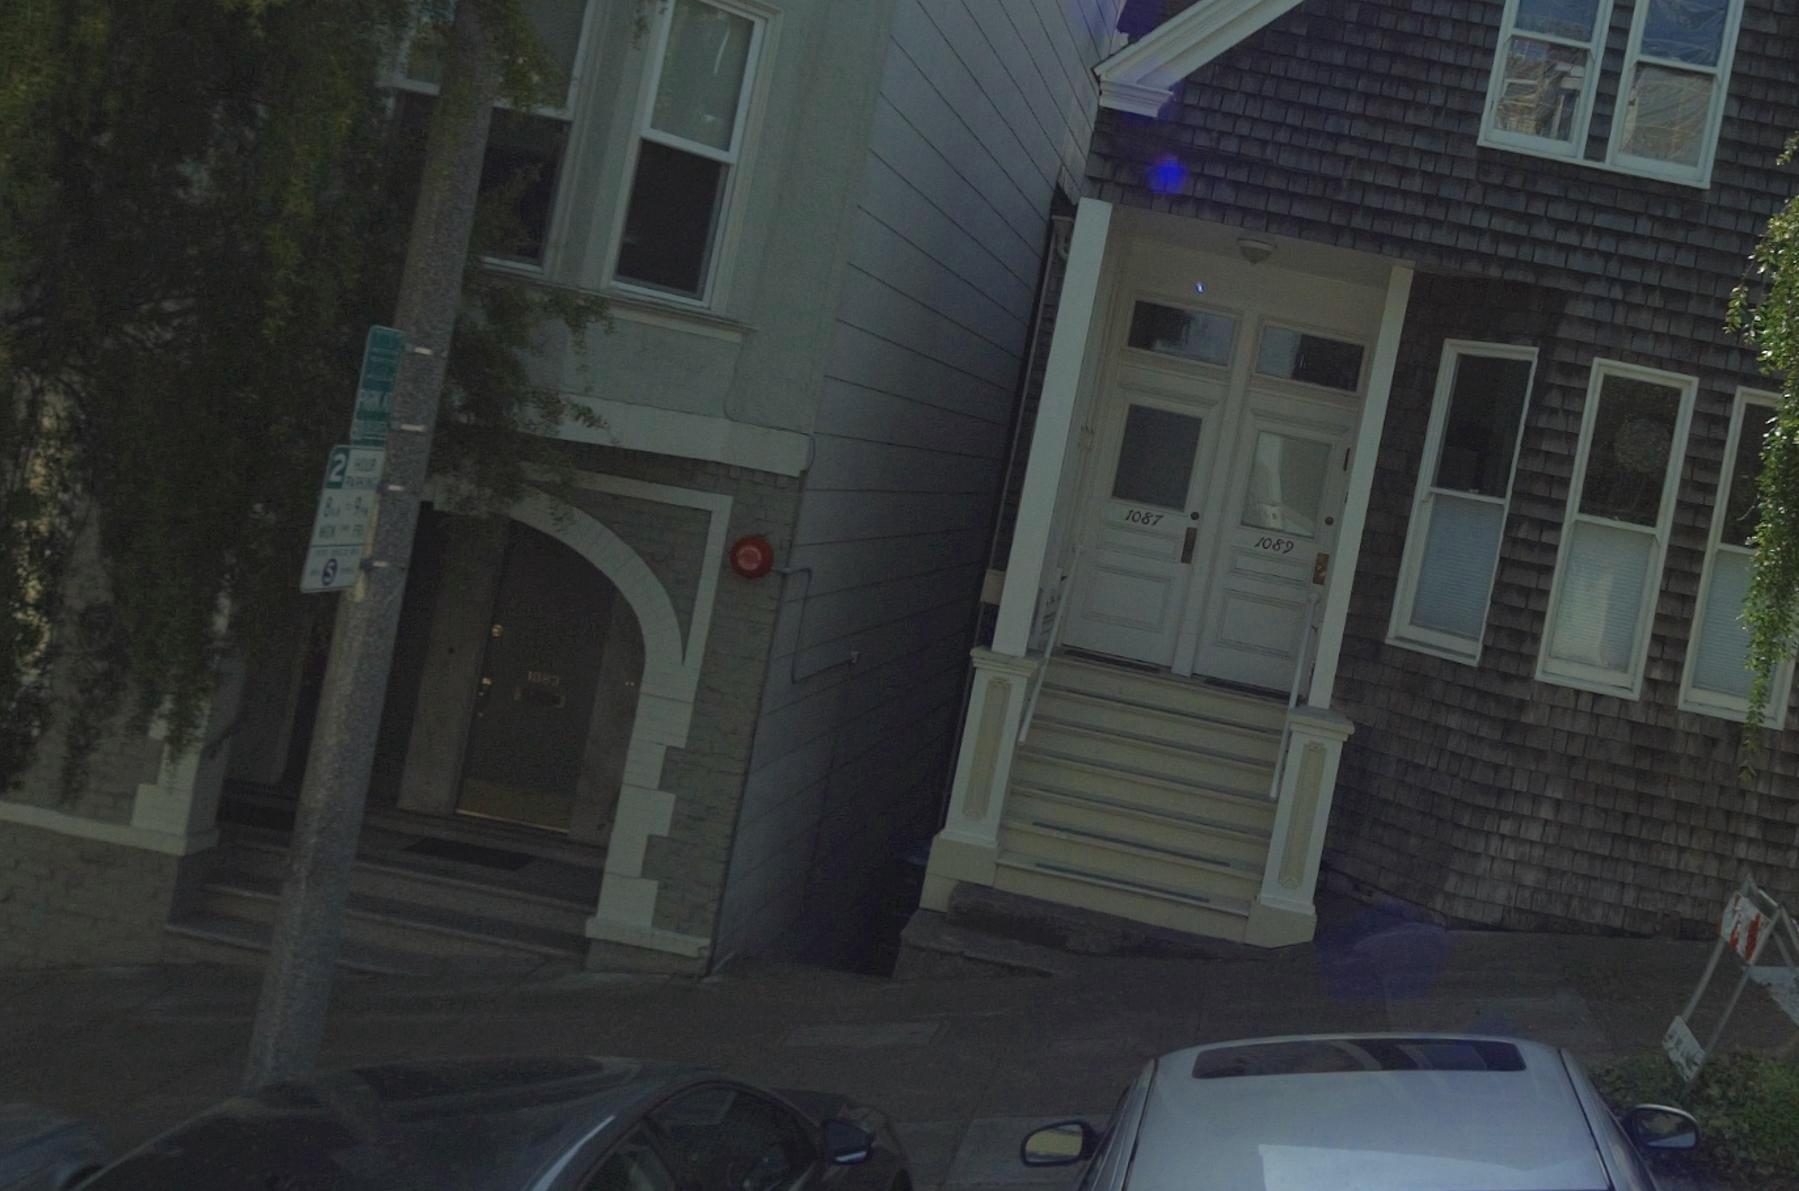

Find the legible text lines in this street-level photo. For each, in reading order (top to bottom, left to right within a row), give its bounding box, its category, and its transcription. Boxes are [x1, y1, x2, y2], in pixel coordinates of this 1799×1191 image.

[327, 451, 349, 484] None: 2
[351, 454, 381, 473] None: HOUR
[319, 496, 376, 518] None: 8AM - 9
[1123, 509, 1165, 526] StreetNumber: 1087
[318, 522, 371, 541] None: MON FRI
[1253, 534, 1295, 557] StreetNumber: 1089
[323, 560, 338, 586] None: S
[524, 669, 561, 689] StreetNumber: 1083